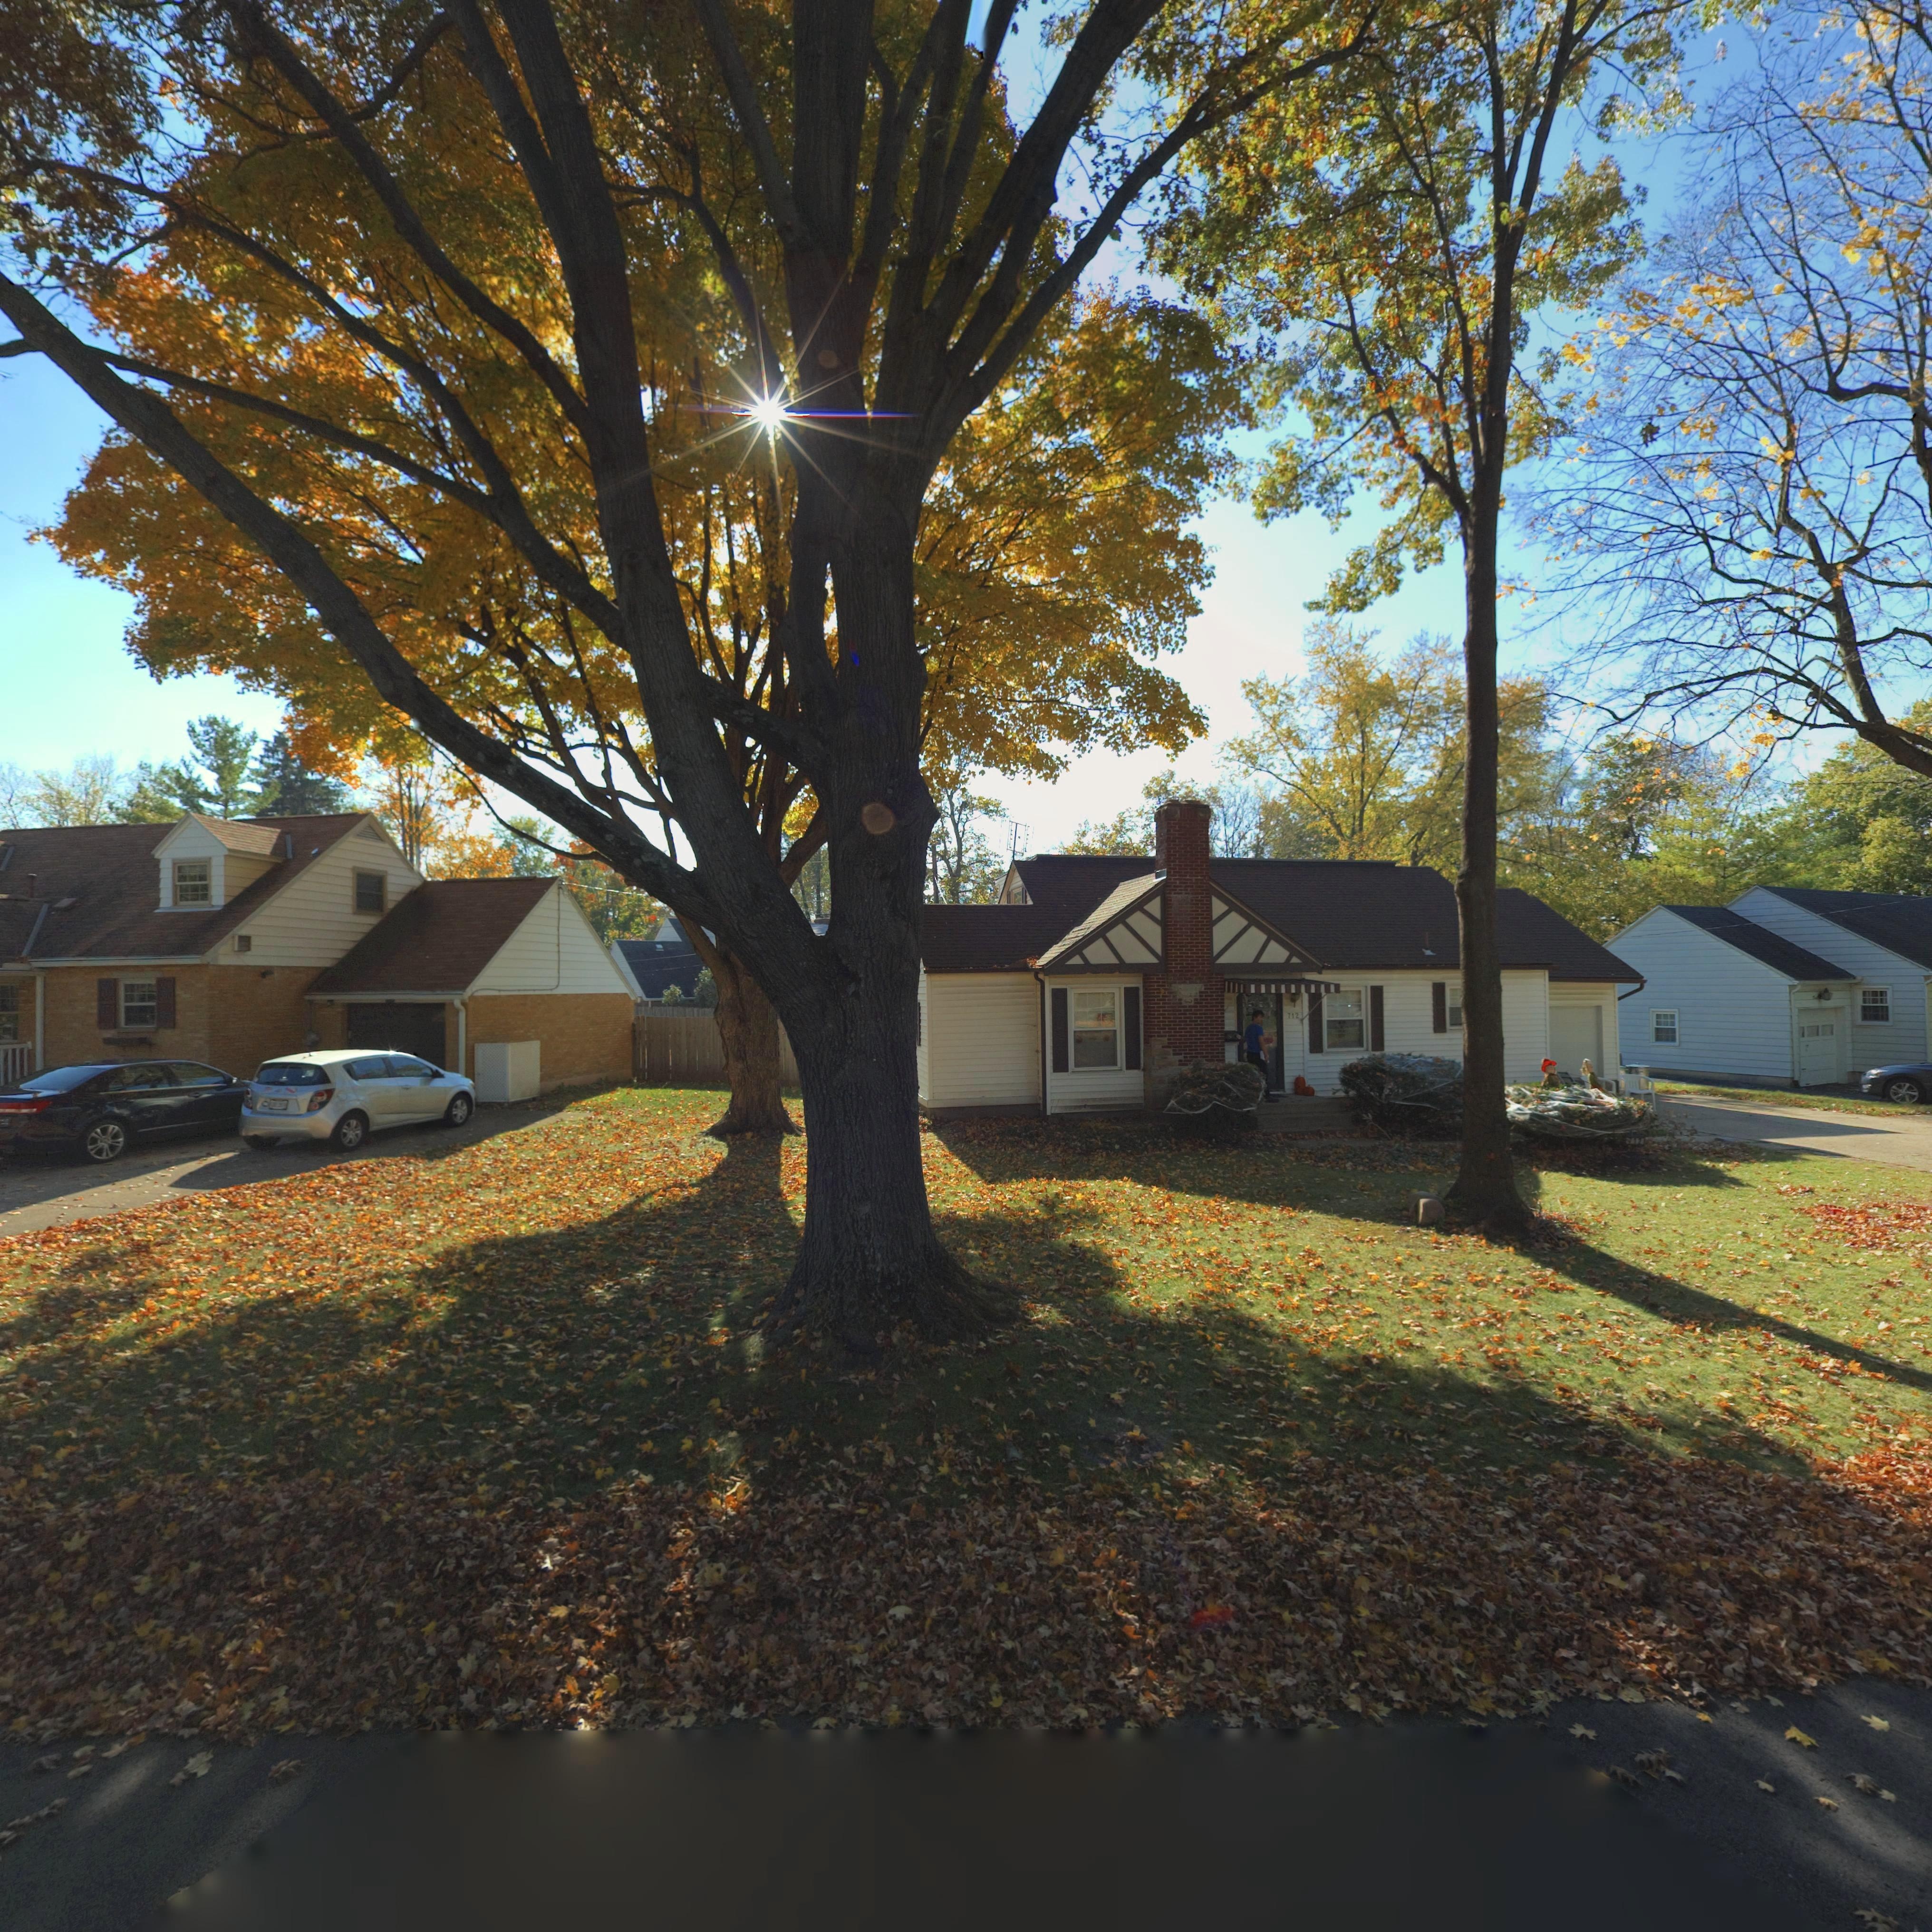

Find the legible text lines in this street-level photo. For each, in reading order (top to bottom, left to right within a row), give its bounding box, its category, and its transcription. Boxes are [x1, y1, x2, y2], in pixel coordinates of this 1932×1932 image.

[1287, 1012, 1300, 1019] StreetNumber: 712